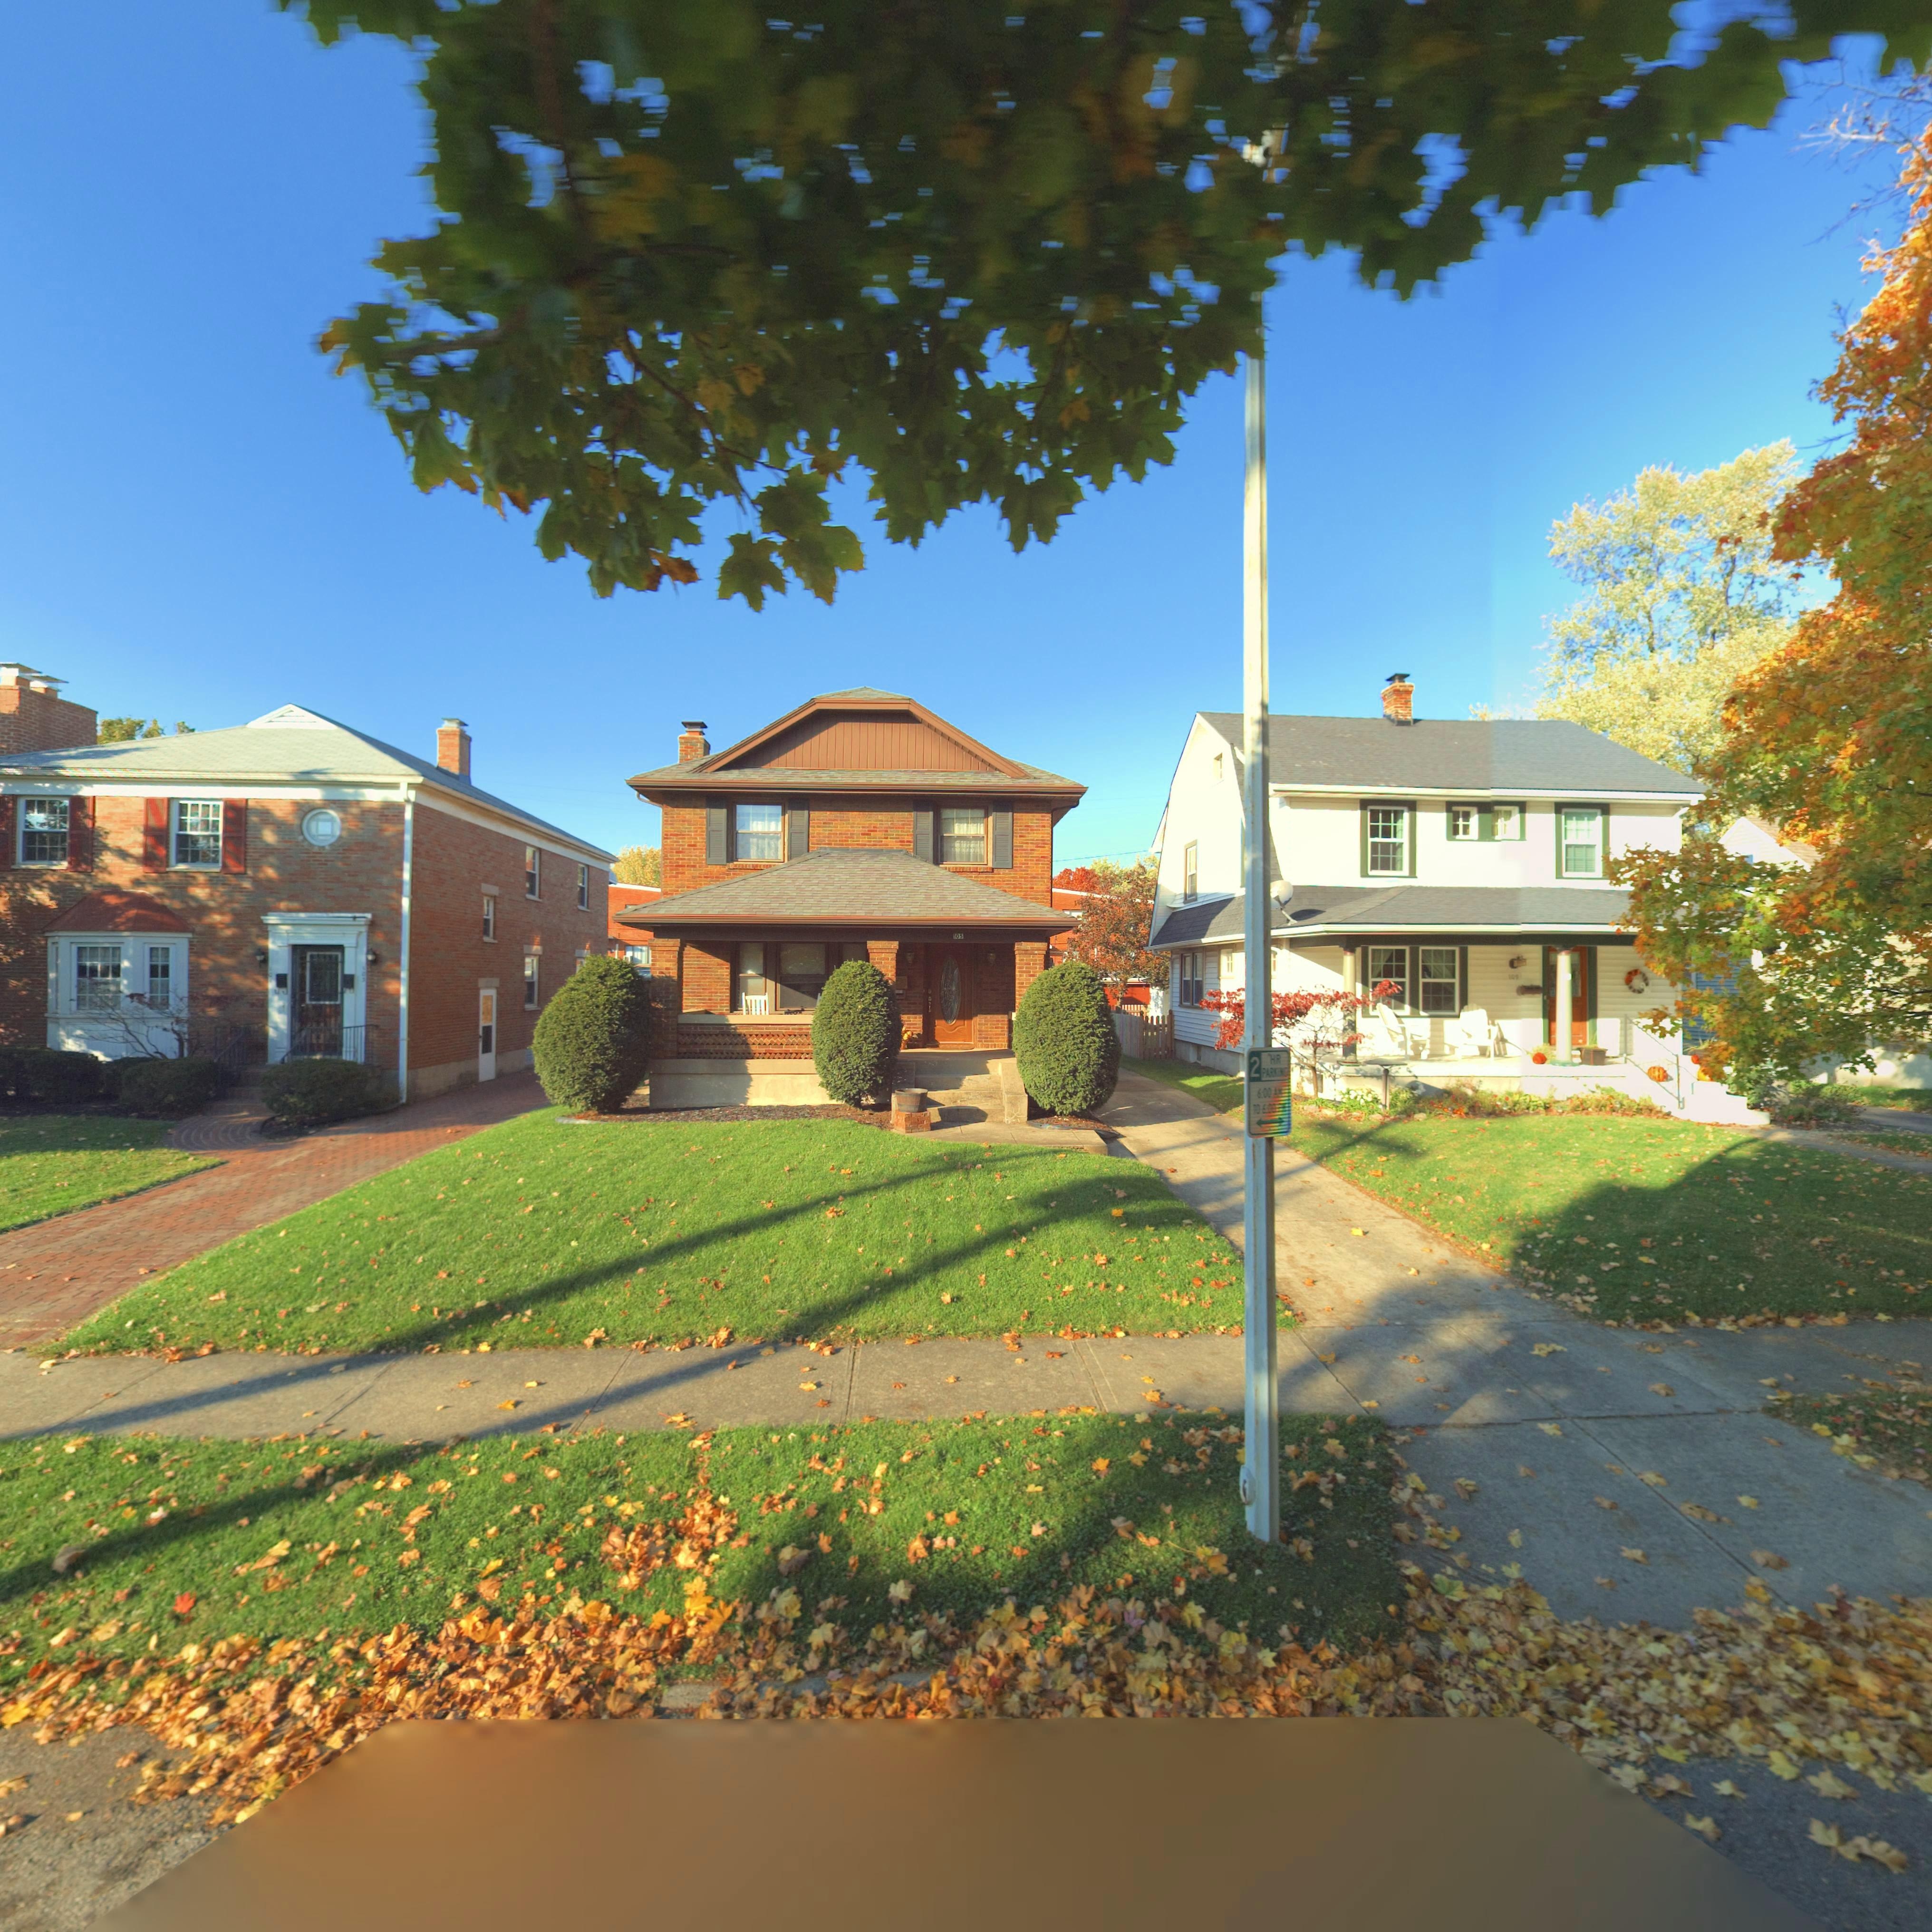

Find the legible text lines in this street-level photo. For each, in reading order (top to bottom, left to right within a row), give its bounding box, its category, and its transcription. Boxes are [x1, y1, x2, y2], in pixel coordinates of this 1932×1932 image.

[953, 933, 963, 939] StreetNumber: 105
[268, 966, 273, 984] StreetNumber: 101
[361, 965, 366, 983] StreetNumber: 103
[1508, 973, 1519, 980] StreetNumber: 109